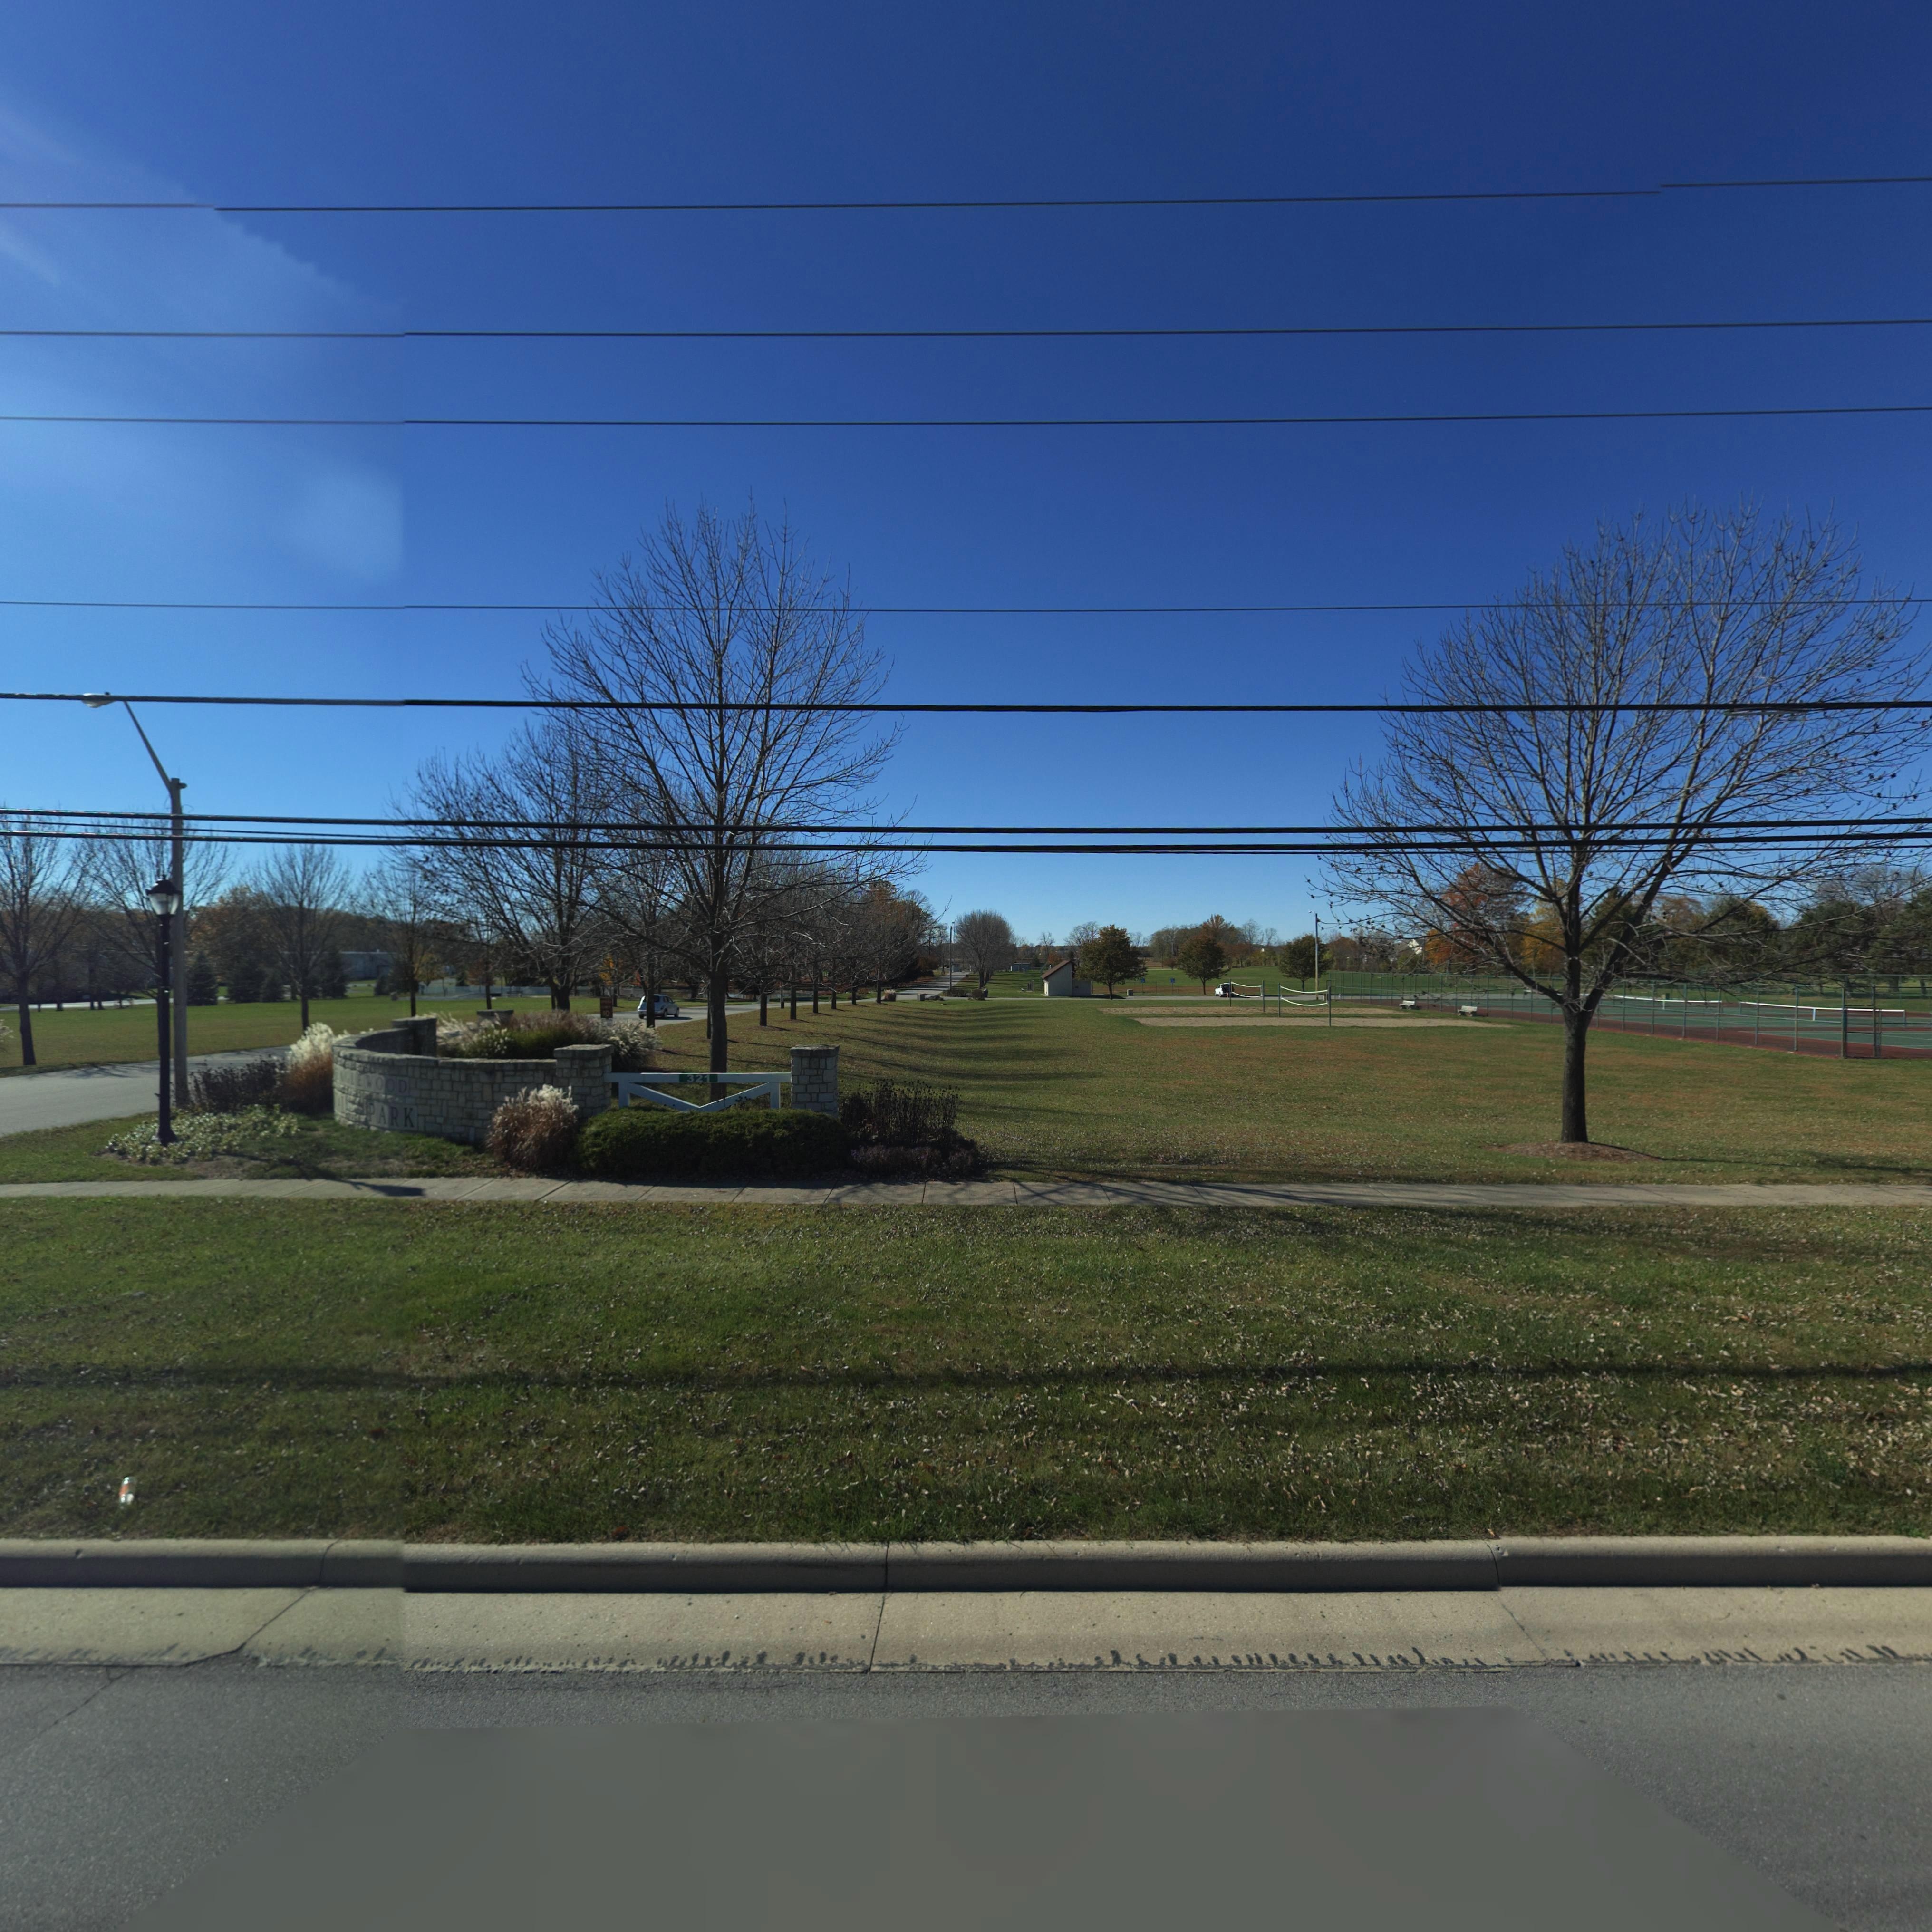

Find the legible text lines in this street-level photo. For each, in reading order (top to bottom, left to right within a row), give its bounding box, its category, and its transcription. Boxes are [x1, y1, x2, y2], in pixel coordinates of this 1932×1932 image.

[602, 1010, 610, 1017] None: 10
[355, 1072, 409, 1096] None: EWOOD
[686, 1072, 711, 1083] StreetNumber: 321
[367, 1101, 415, 1130] None: PARK